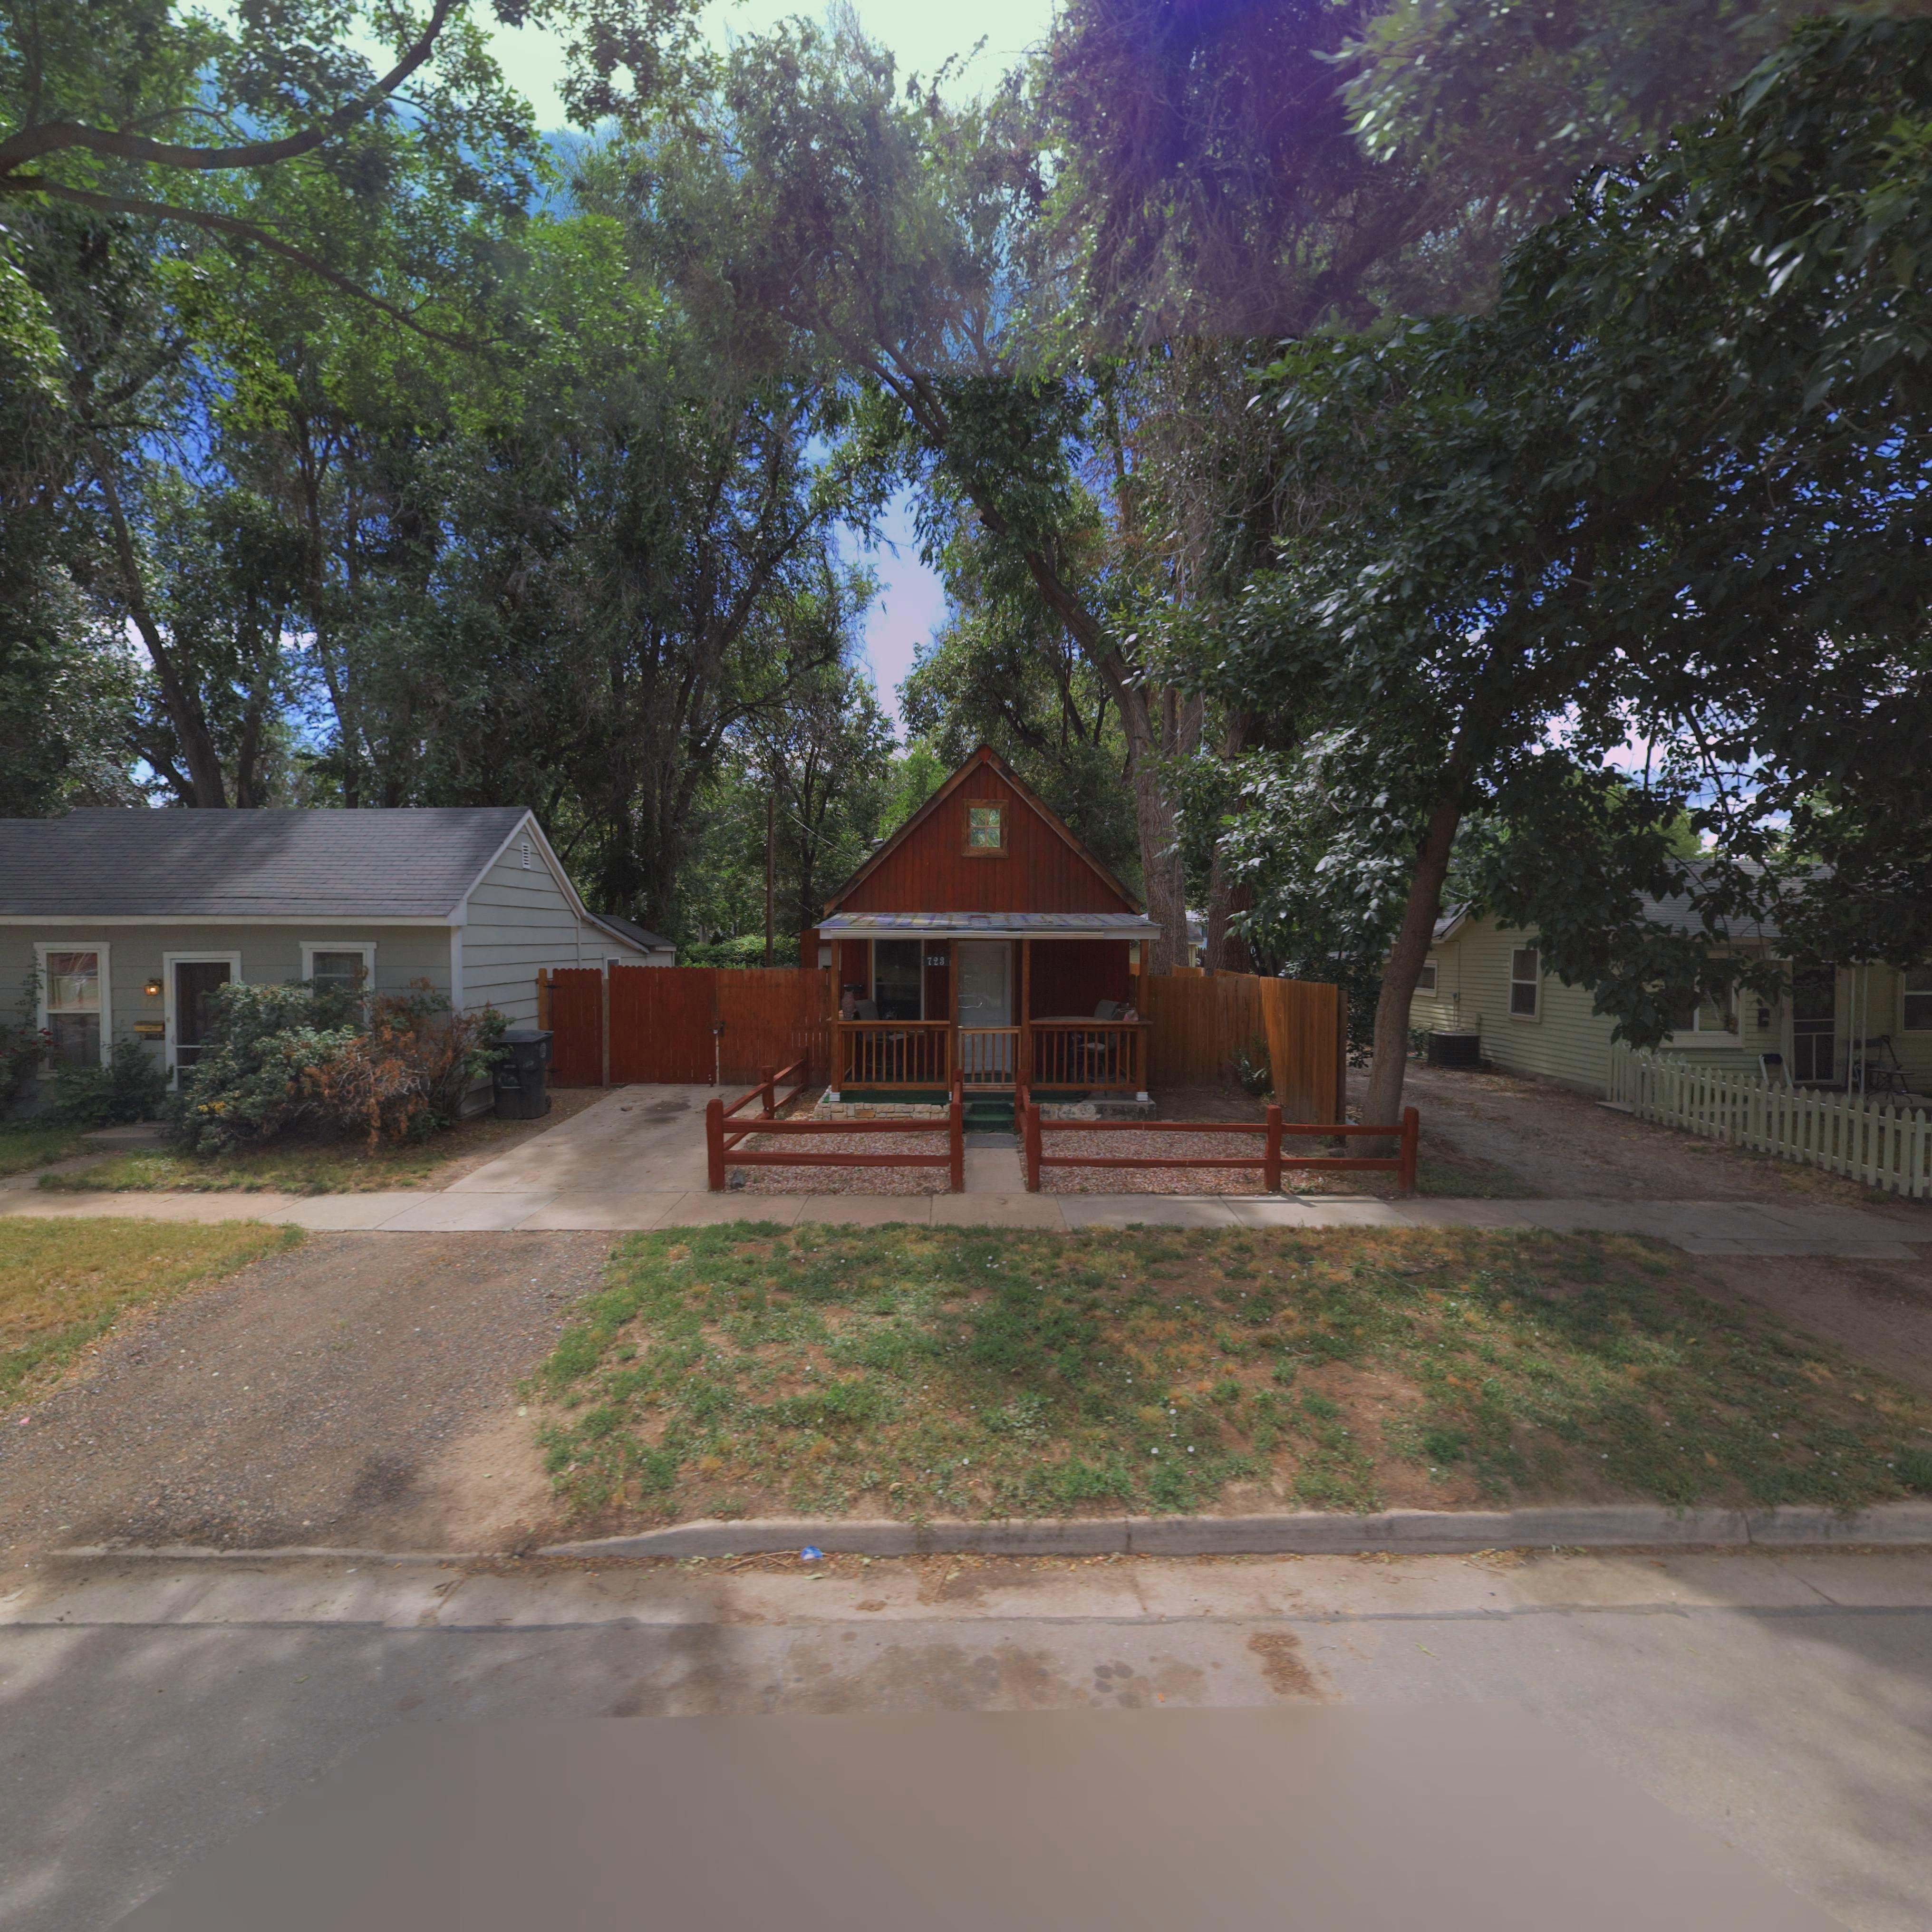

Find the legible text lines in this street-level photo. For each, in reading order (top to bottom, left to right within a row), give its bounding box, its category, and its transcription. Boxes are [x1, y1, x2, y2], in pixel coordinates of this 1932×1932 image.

[927, 956, 944, 966] StreetNumber: 723
[141, 997, 160, 1010] StreetNumber: 72*